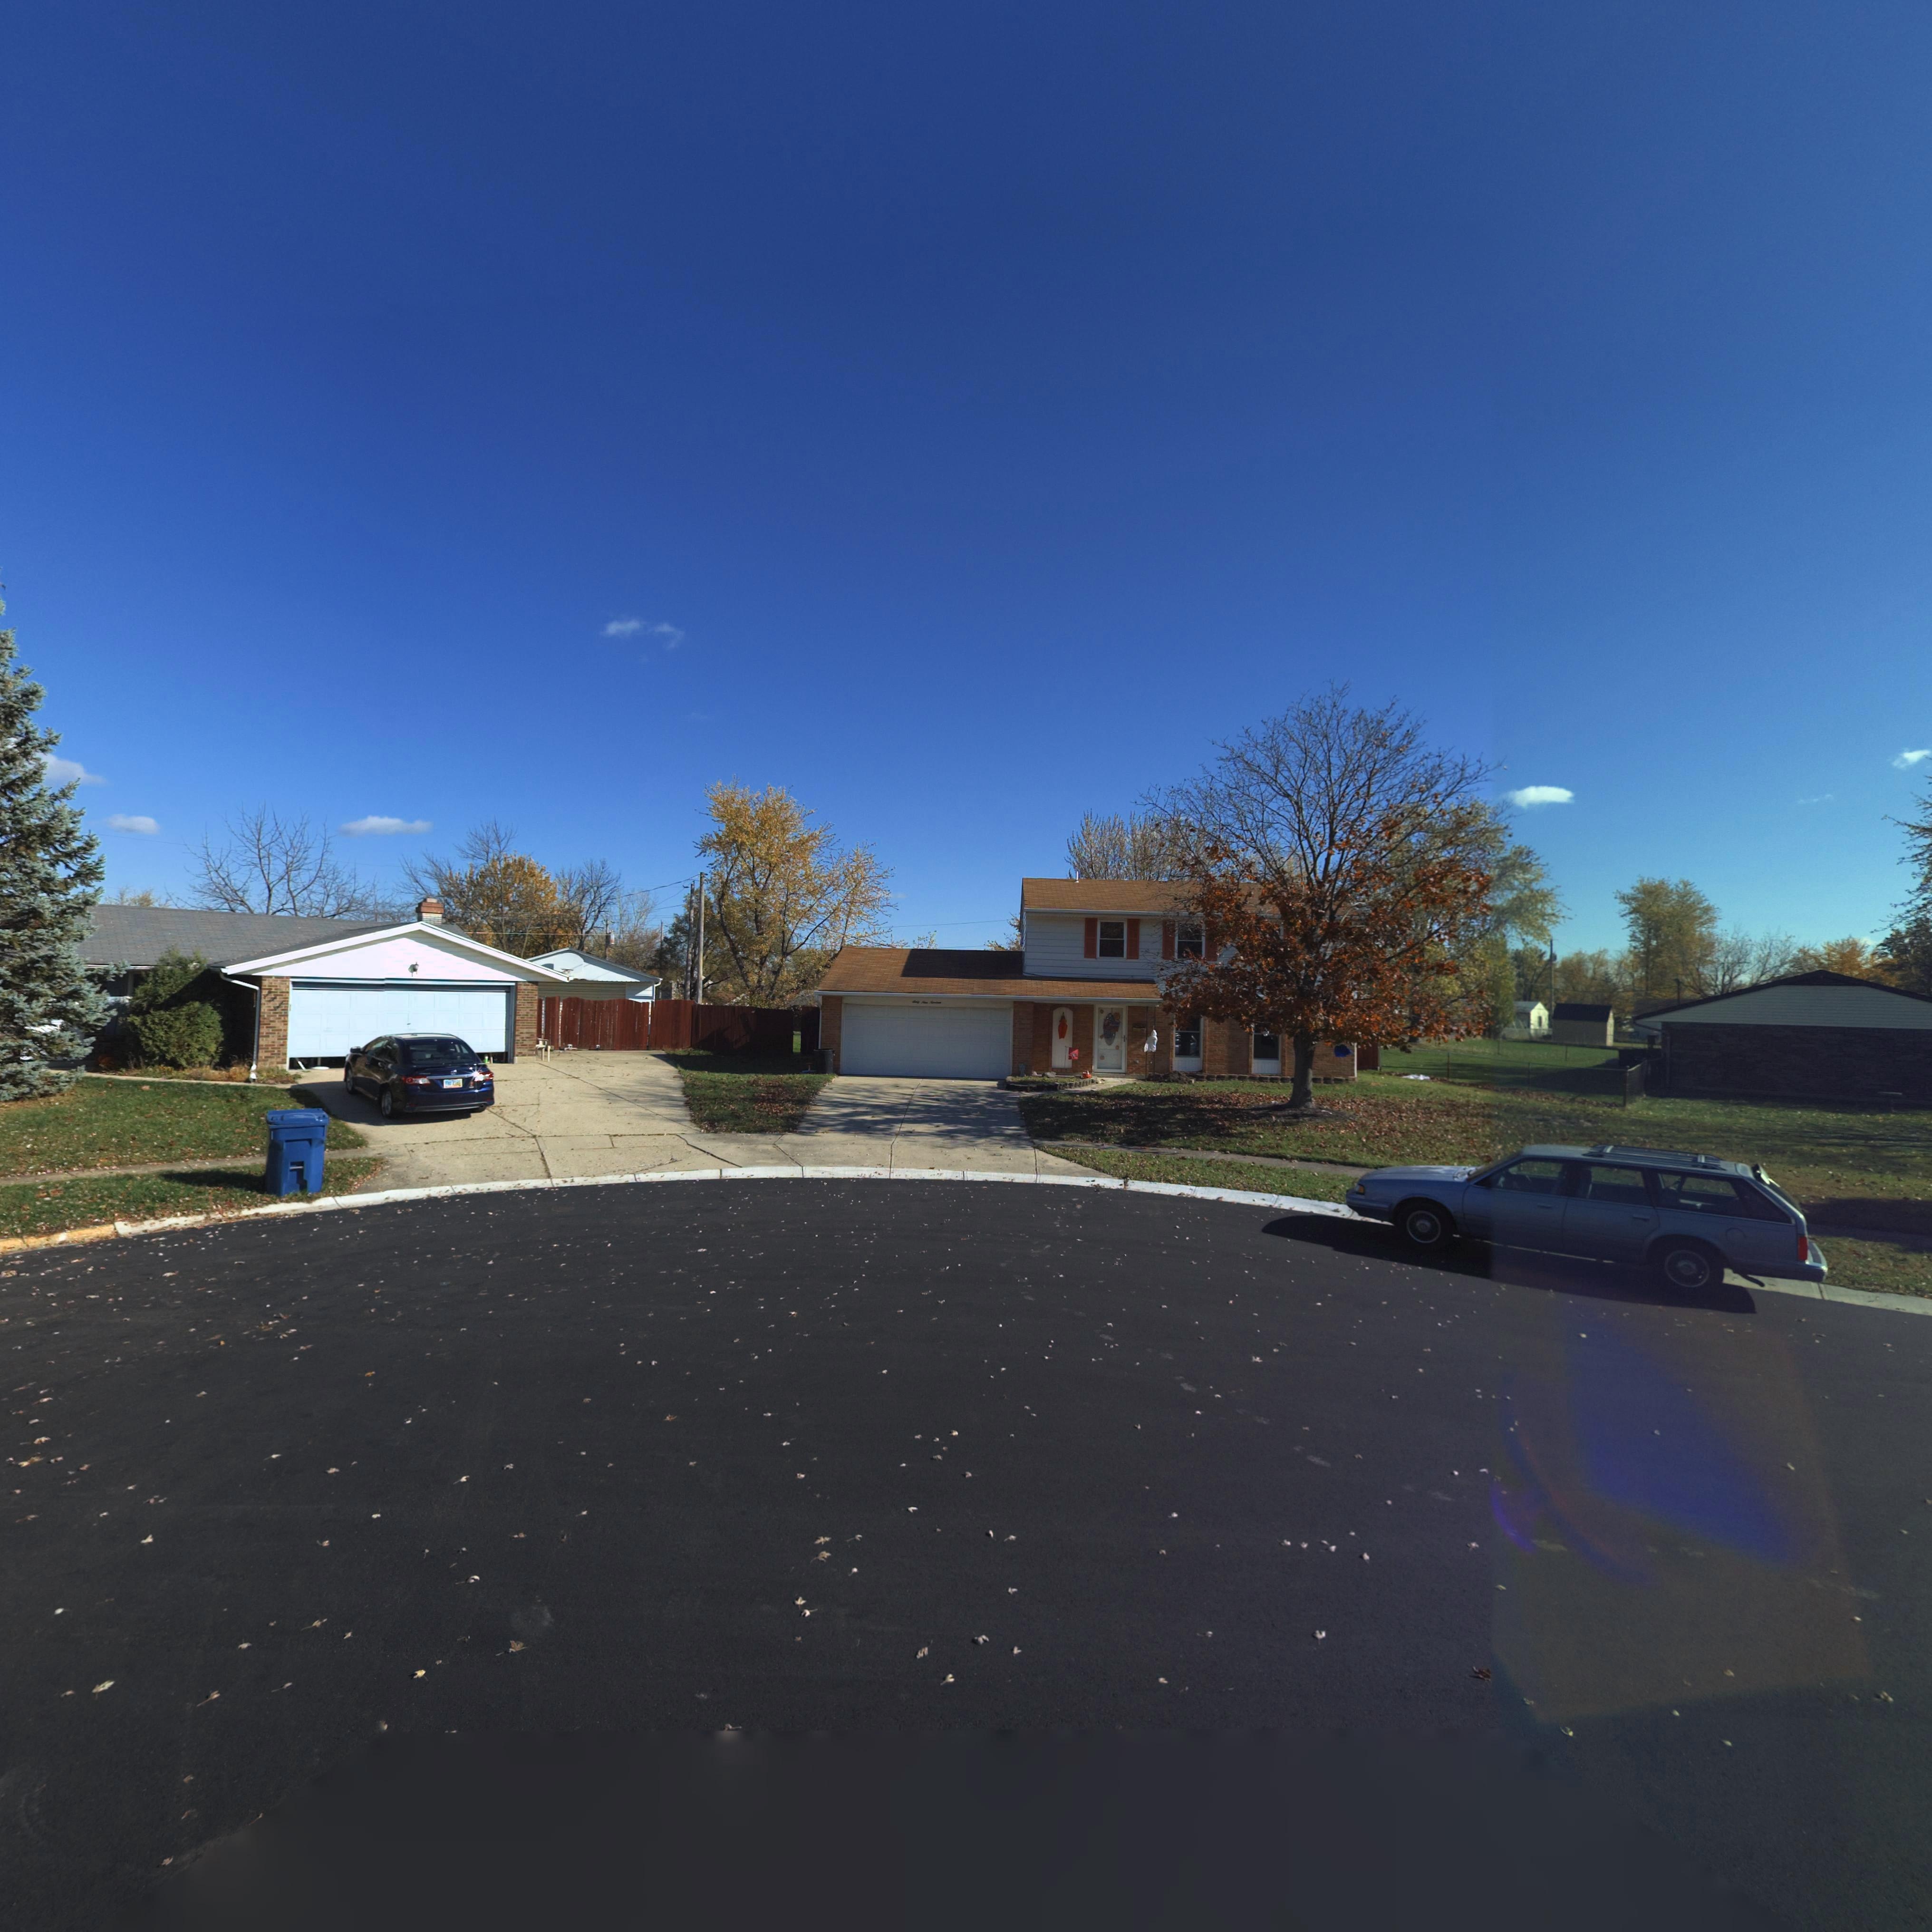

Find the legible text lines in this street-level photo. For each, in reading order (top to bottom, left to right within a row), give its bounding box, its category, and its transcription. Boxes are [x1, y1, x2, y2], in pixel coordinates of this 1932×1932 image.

[911, 1000, 942, 1004] StreetNumber: Sixty Nine Nineteen